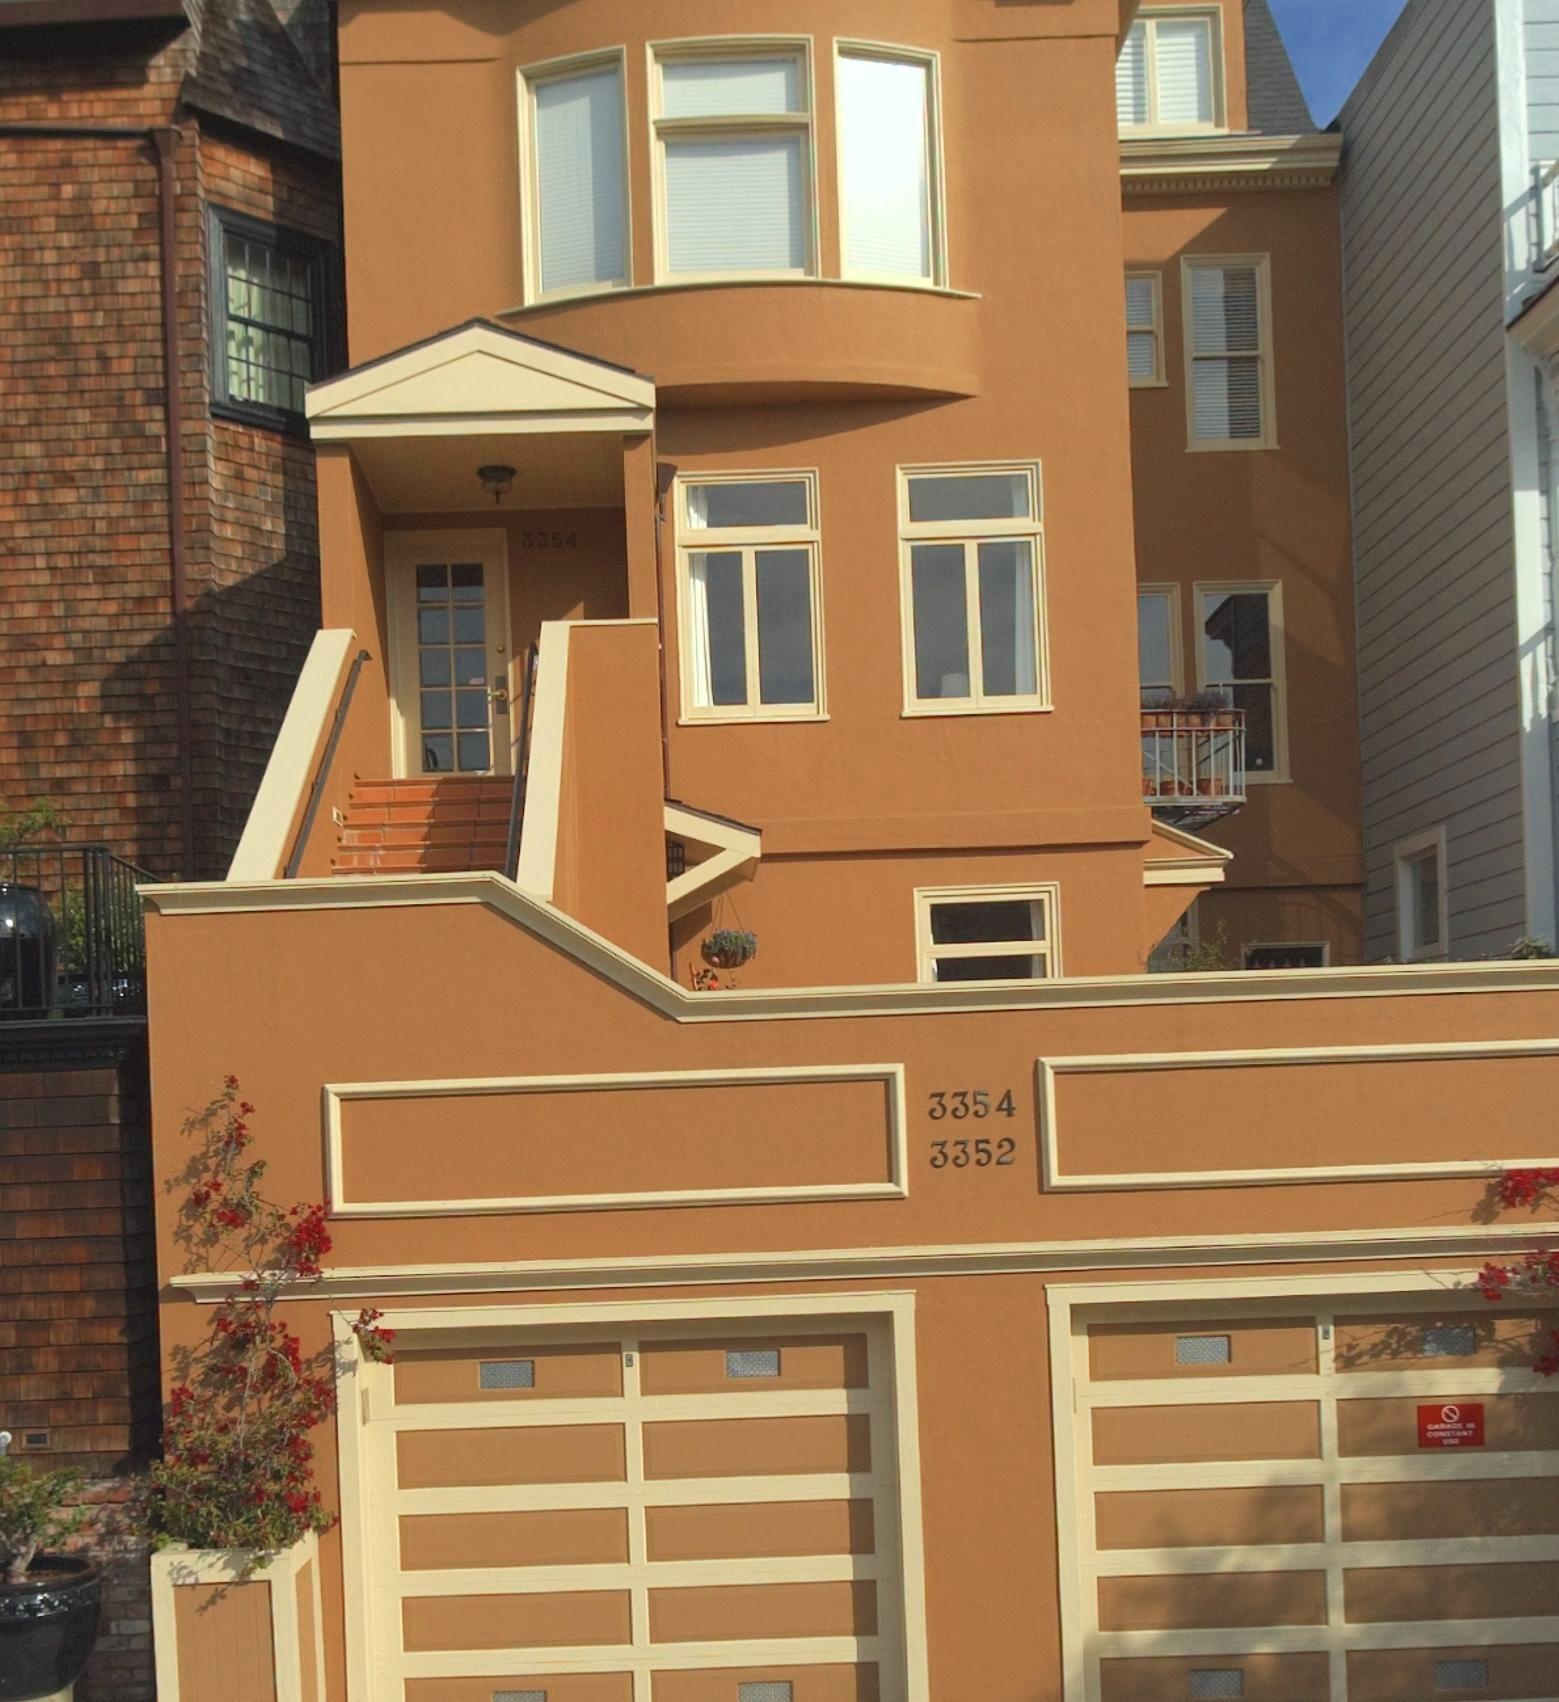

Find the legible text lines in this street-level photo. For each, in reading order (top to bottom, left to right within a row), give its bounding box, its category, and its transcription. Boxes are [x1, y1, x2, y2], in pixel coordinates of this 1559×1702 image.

[519, 528, 580, 551] StreetNumber: 3354
[925, 1086, 1020, 1124] StreetNumber: 3354
[927, 1134, 1019, 1172] StreetNumber: 3352